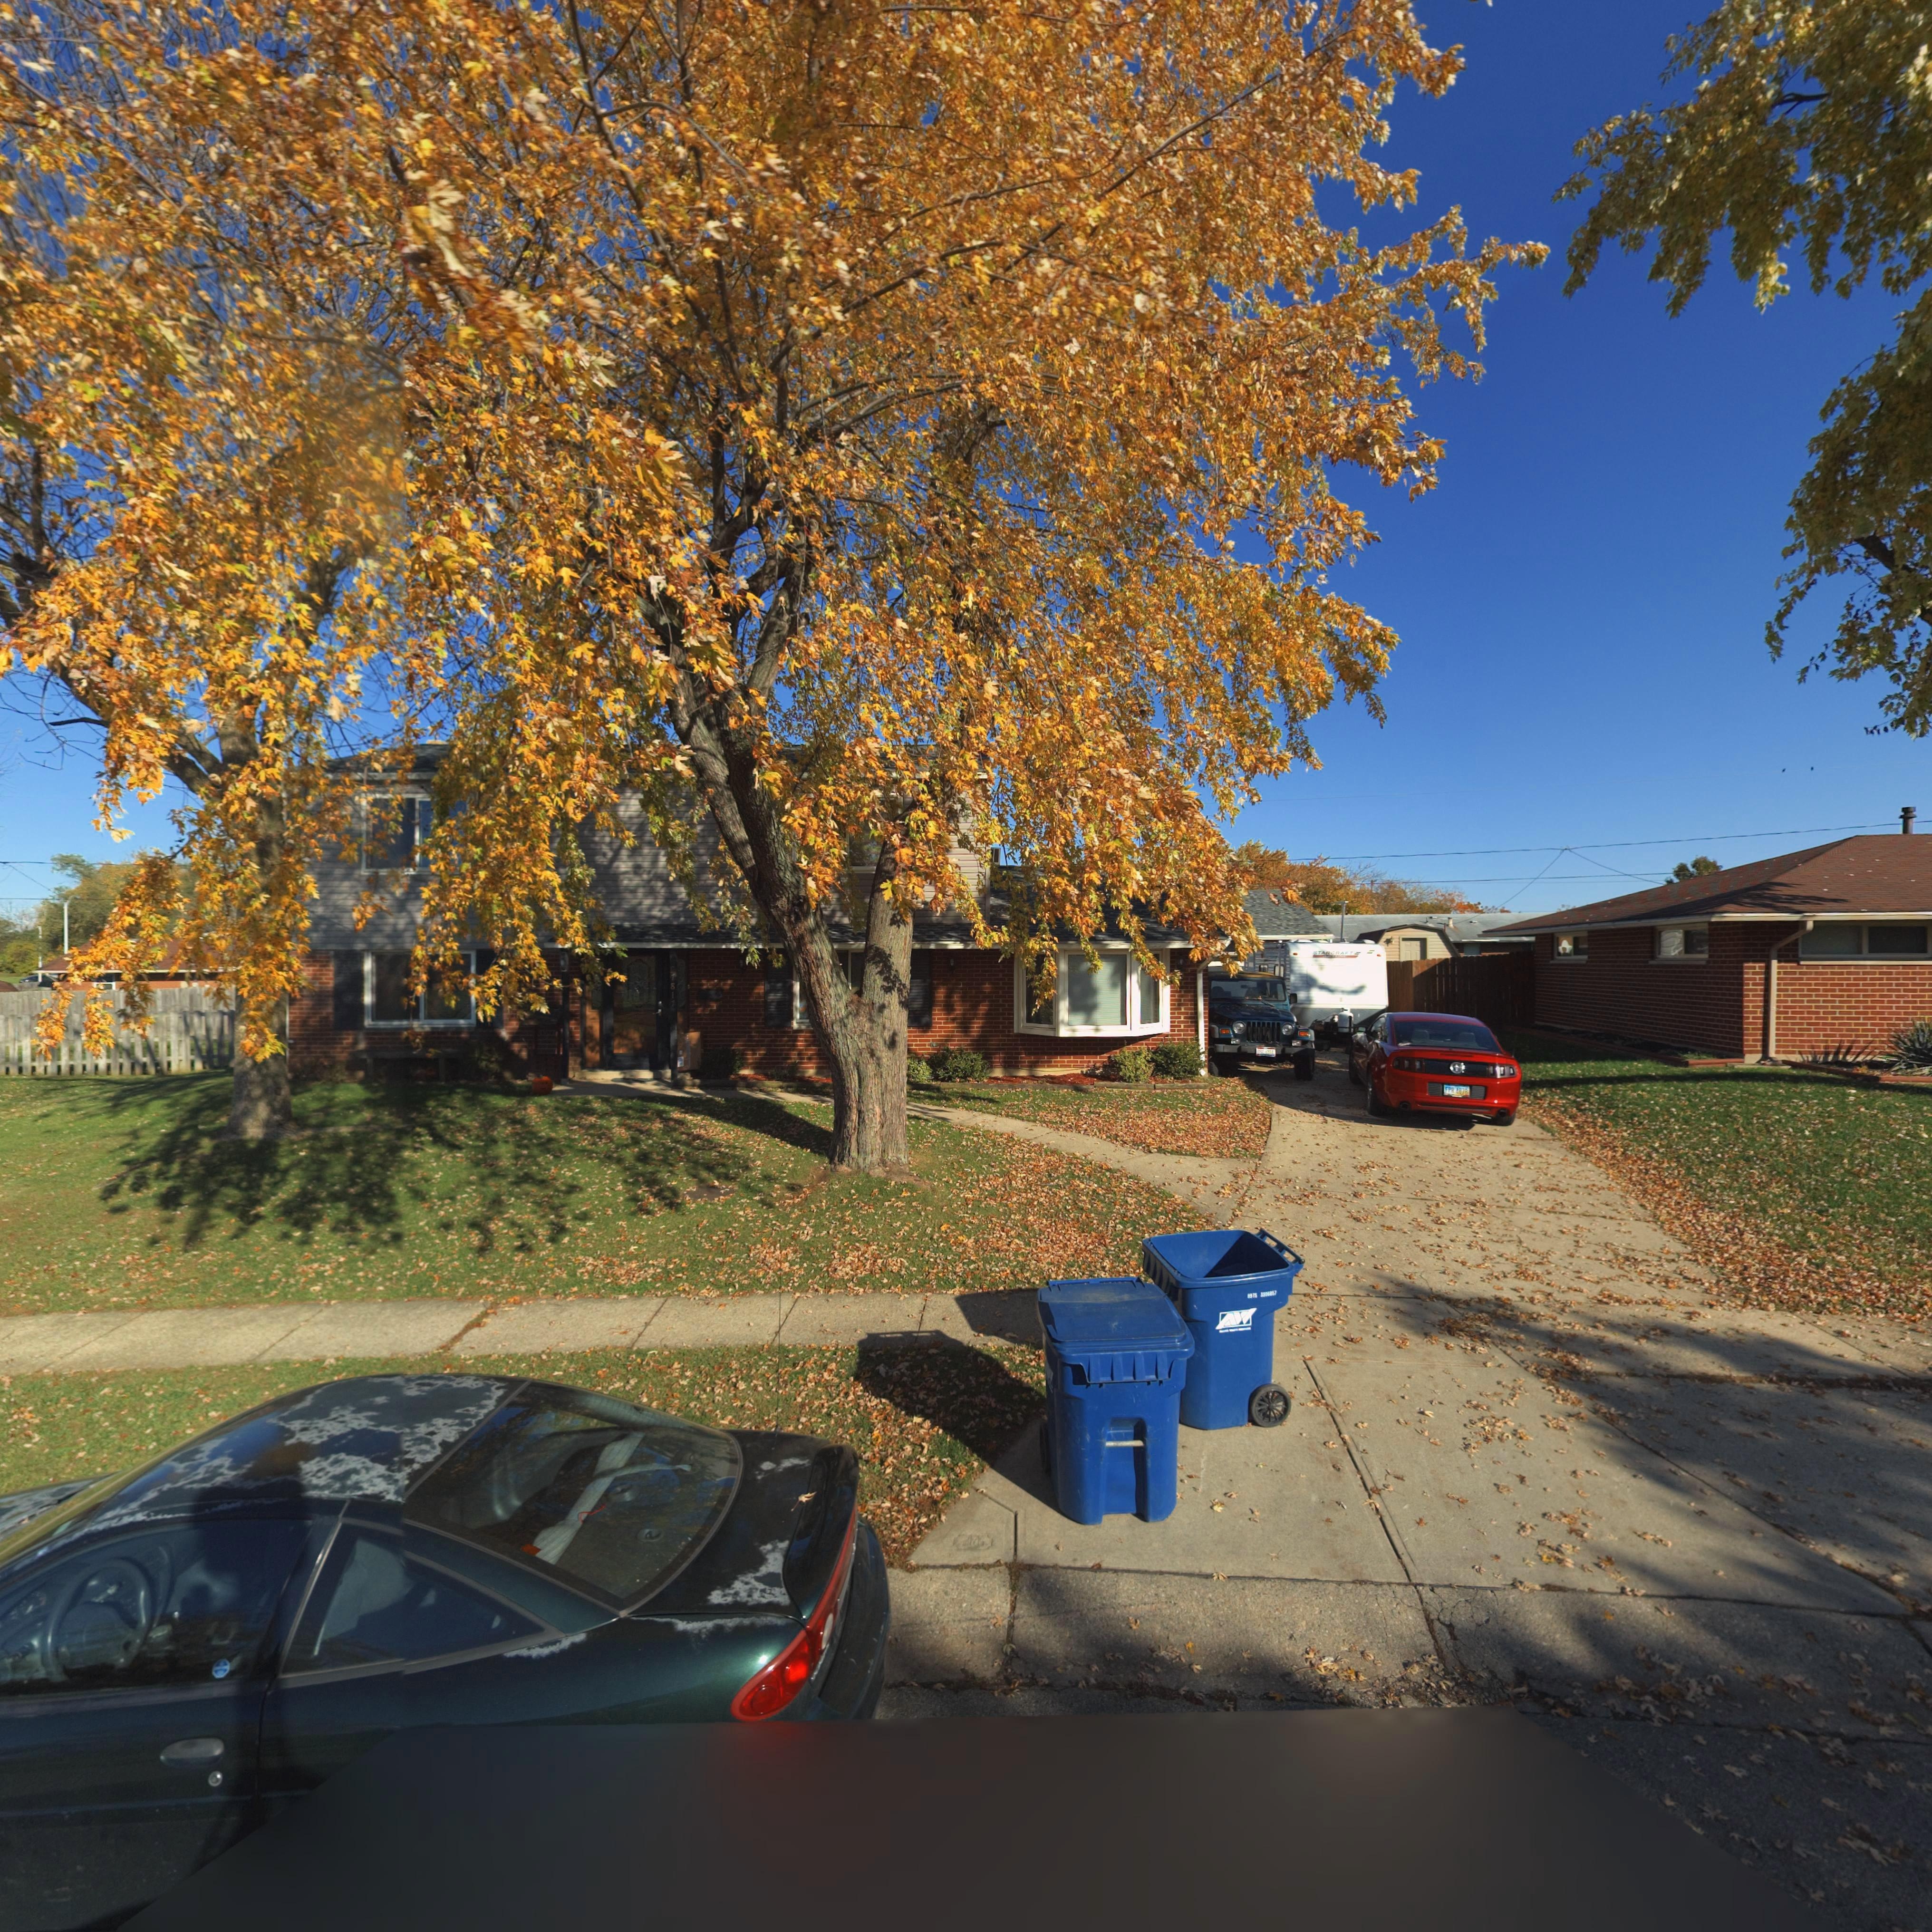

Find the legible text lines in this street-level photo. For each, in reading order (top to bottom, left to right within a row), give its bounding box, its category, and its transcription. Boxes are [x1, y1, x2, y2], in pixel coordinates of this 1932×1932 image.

[669, 973, 676, 1007] StreetNumber: 7817